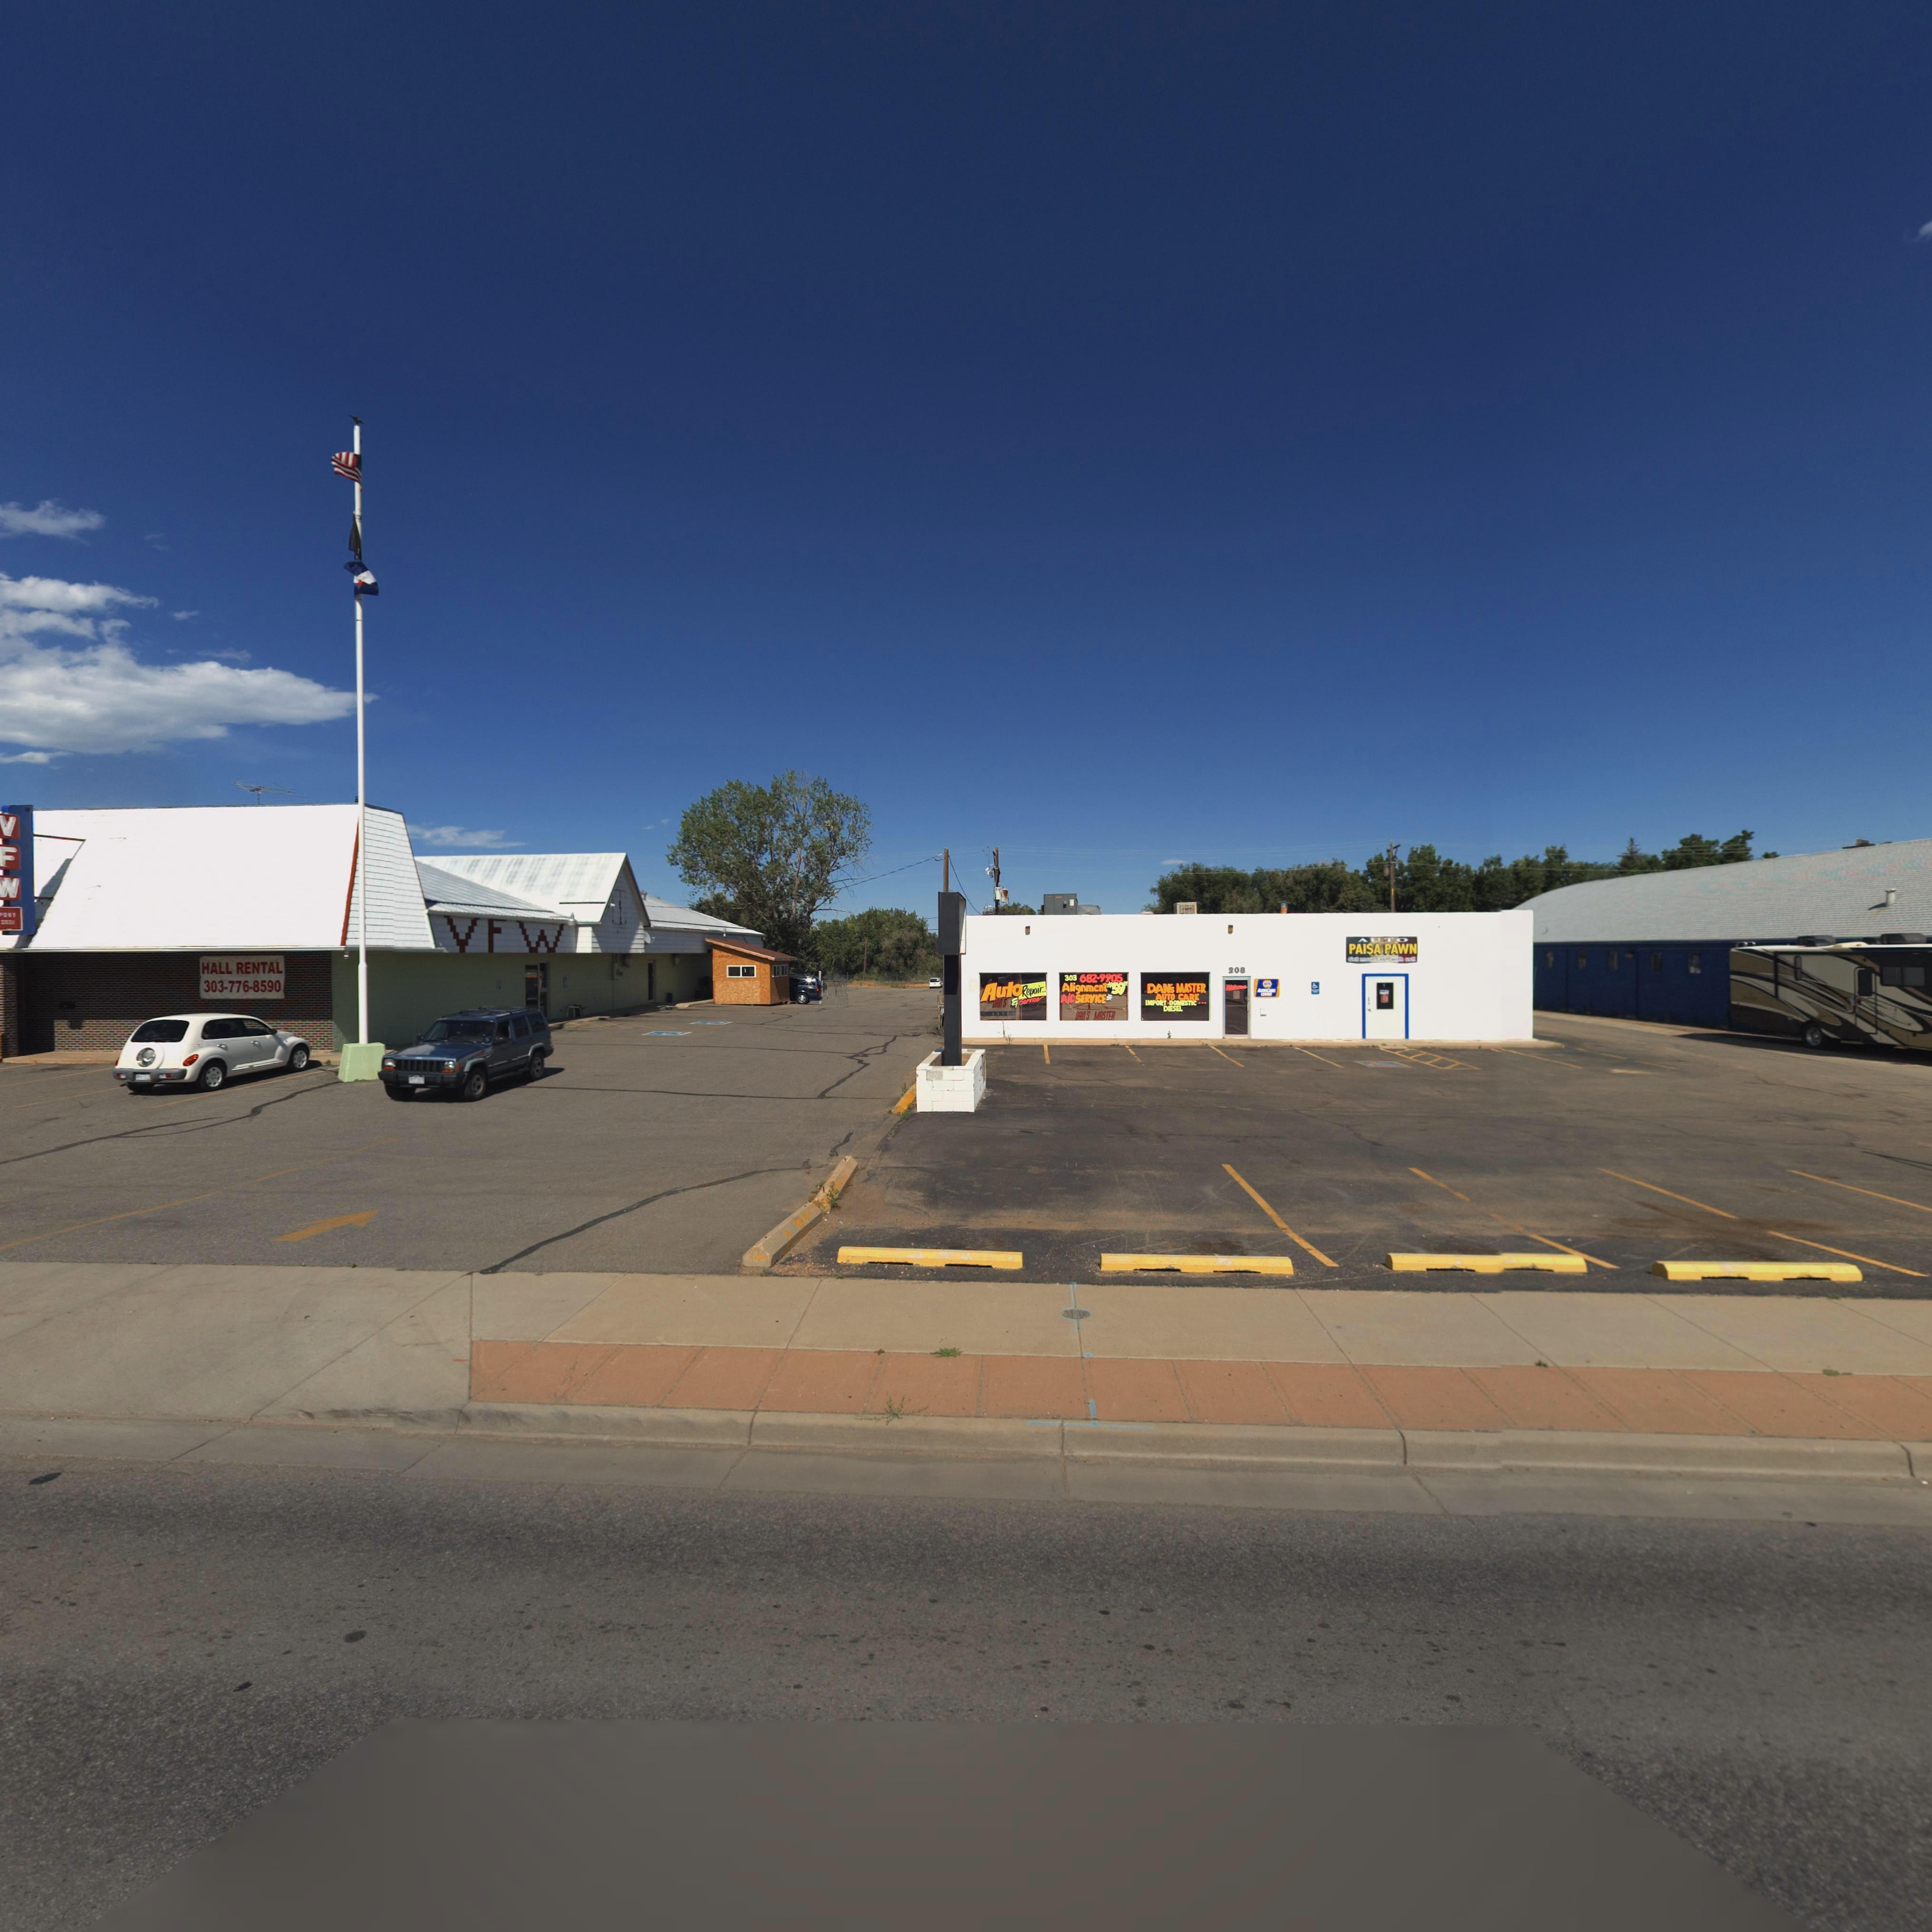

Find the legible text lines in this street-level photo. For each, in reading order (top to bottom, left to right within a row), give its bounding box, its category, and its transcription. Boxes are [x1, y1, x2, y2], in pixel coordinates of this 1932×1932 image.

[0, 815, 18, 868] BusinessName: VF
[441, 915, 567, 953] BusinessName: VFW
[1228, 966, 1245, 974] StreetNumber: 208
[1147, 983, 1207, 994] BusinessName: DAN'S MASTER
[1155, 993, 1200, 1000] BusinessName: AUTO CARE
[1074, 1010, 1116, 1020] BusinessName: DAN'S MASTER